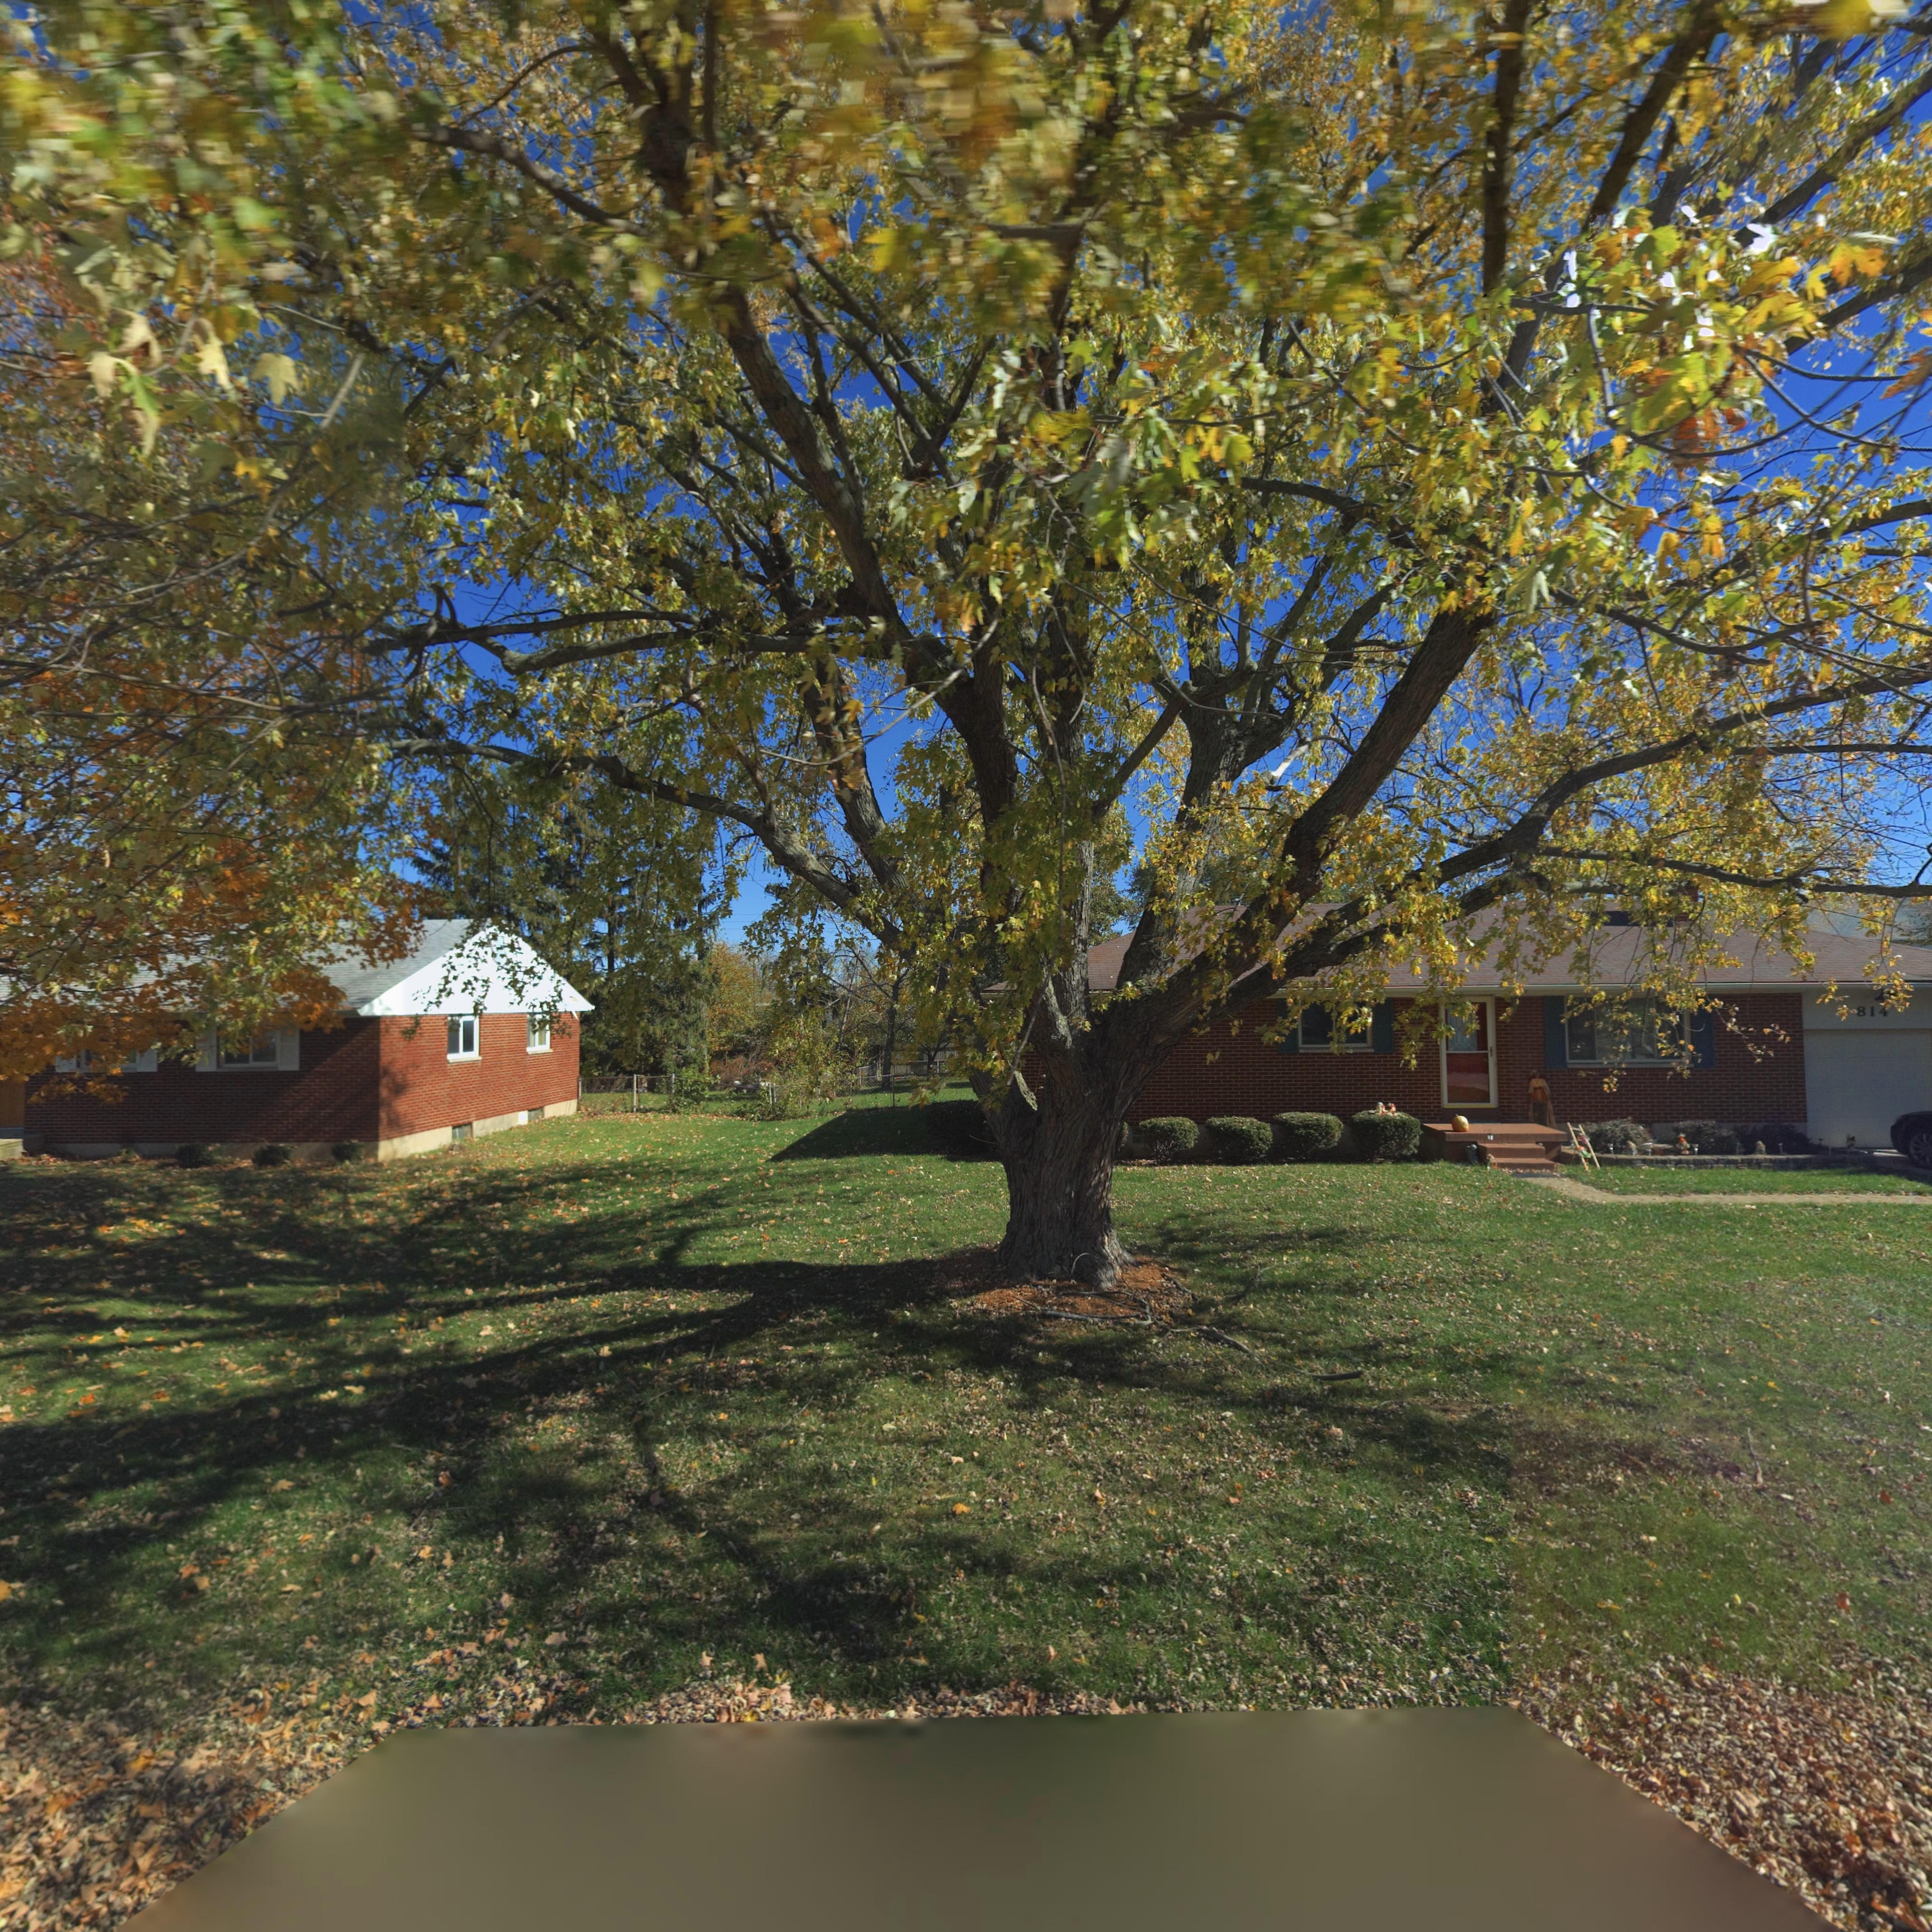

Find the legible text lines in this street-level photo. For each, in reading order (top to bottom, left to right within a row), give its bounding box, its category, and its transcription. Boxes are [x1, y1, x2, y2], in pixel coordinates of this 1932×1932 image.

[1856, 1005, 1889, 1017] StreetNumber: 814